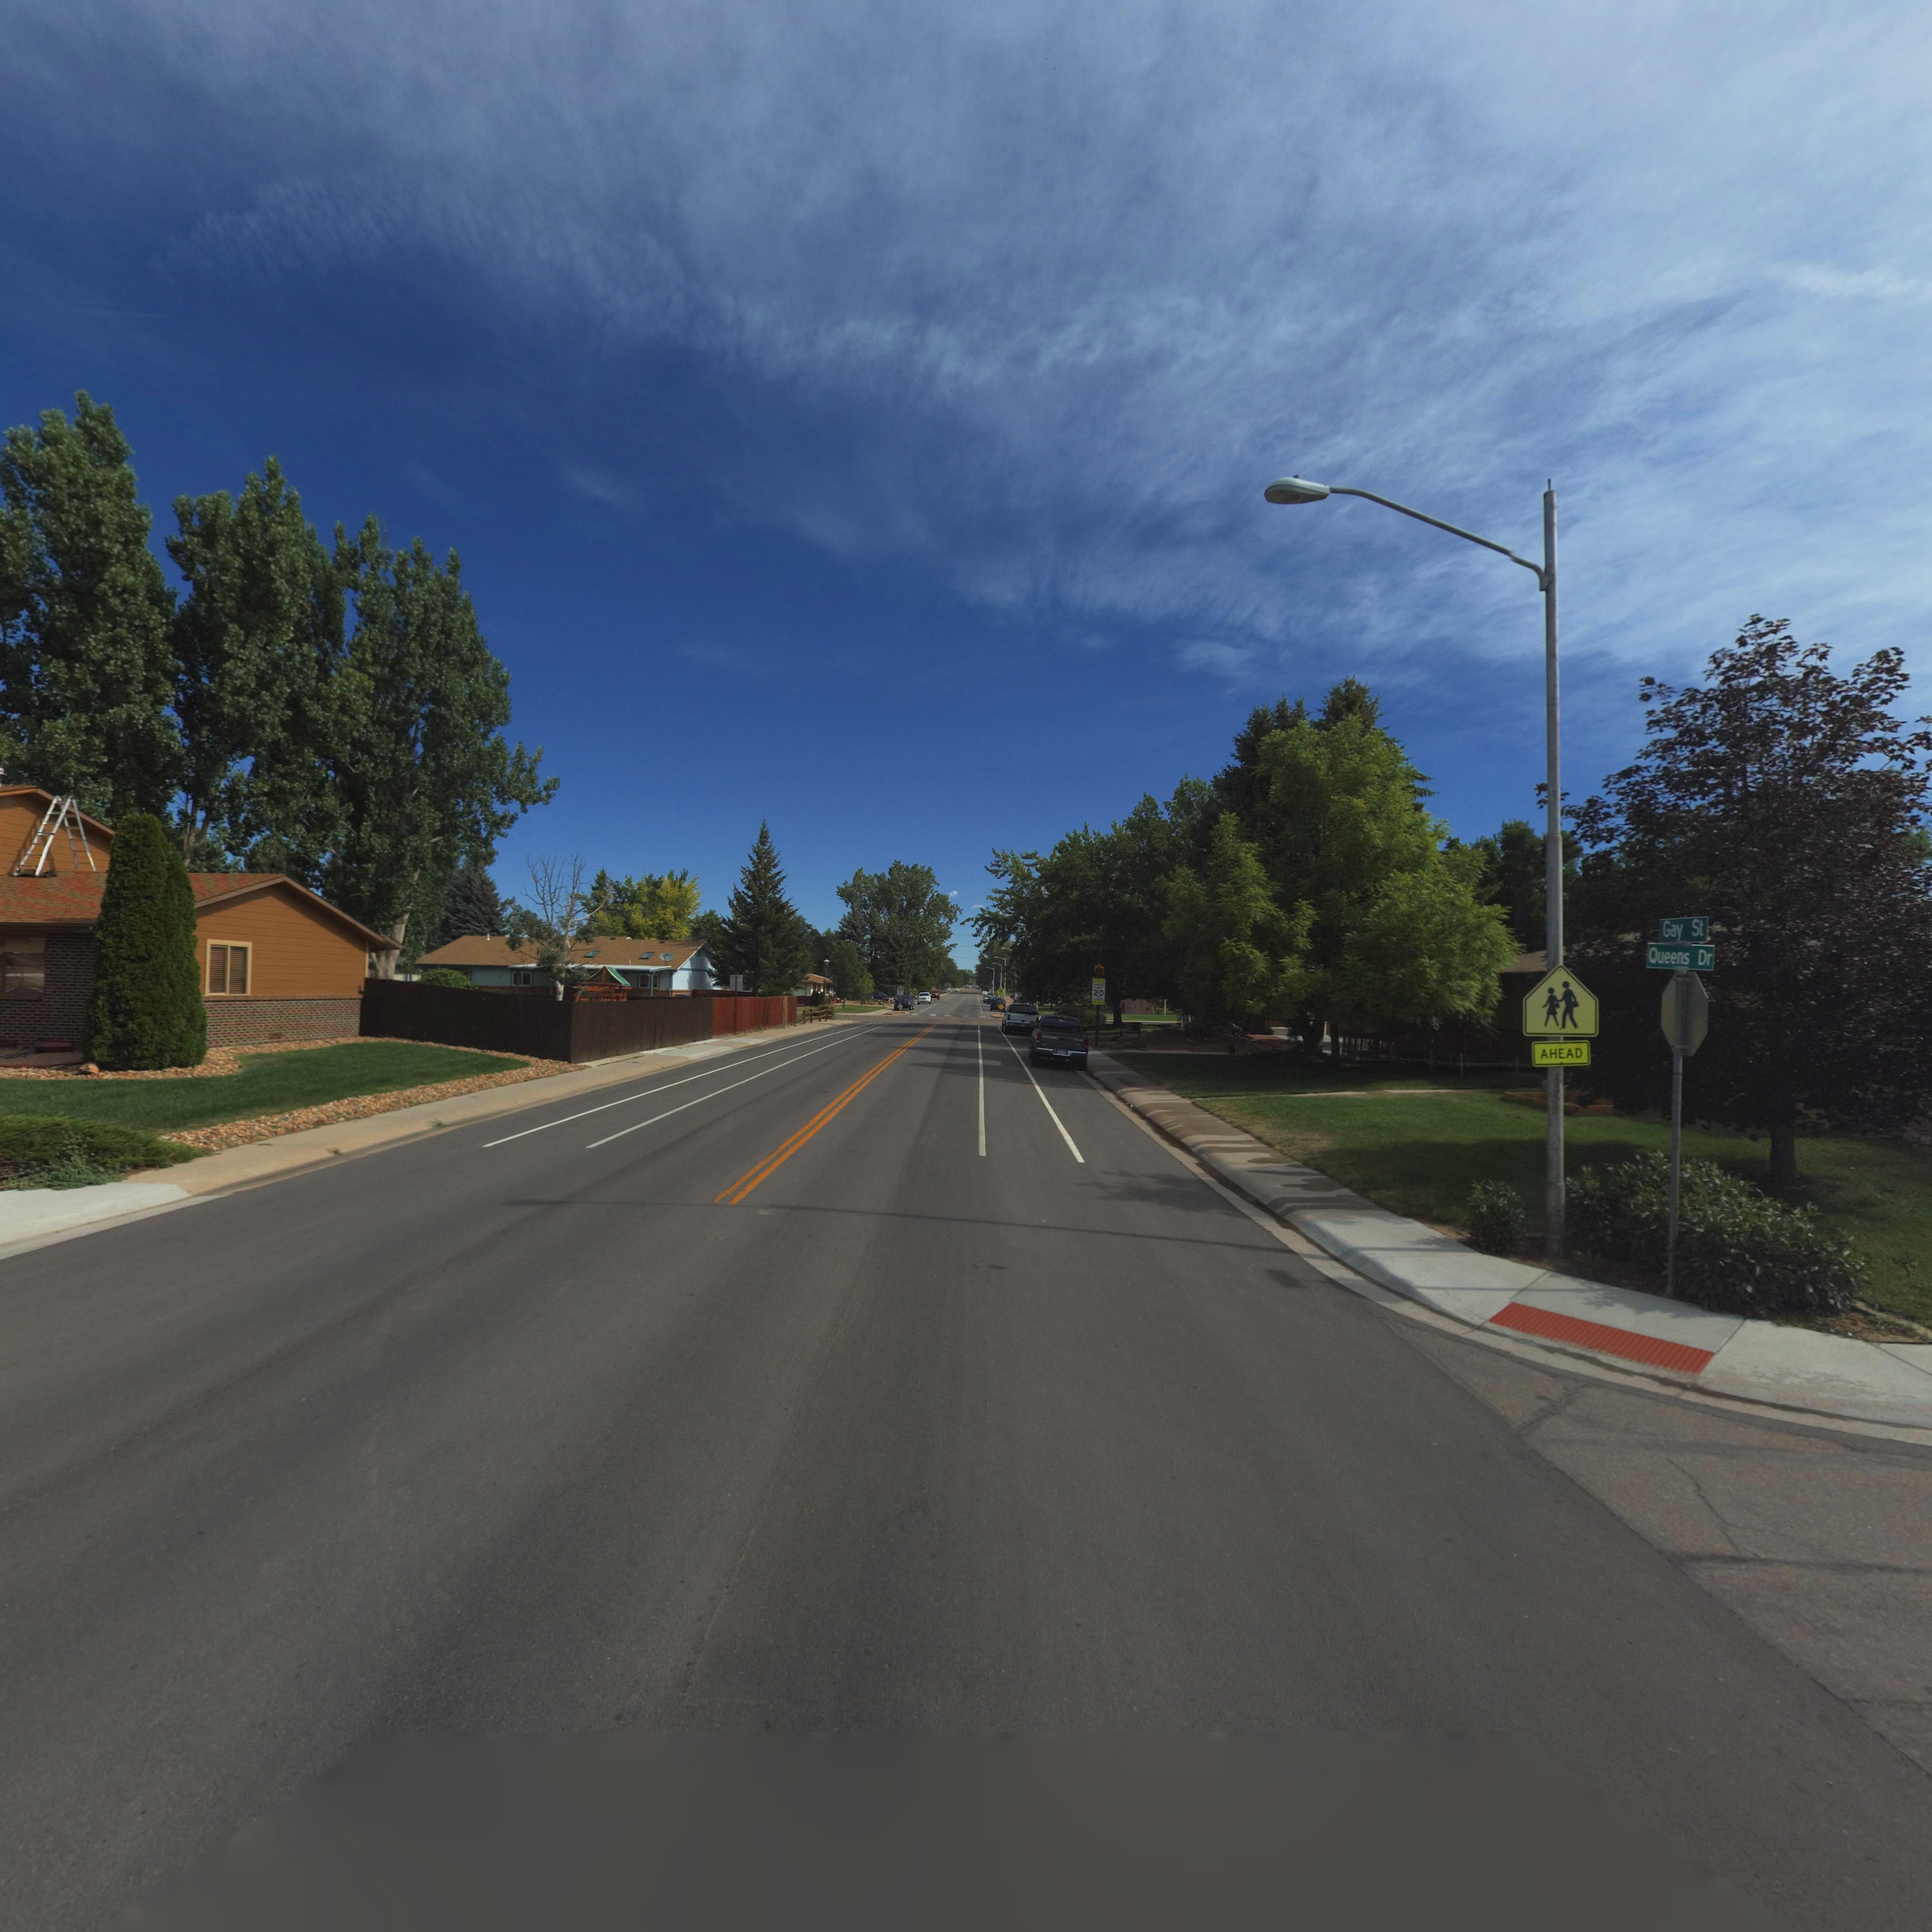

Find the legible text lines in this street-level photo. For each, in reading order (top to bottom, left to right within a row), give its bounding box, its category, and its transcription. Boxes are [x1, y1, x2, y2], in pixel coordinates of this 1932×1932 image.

[1661, 918, 1704, 942] StreetName: Gay St
[1648, 946, 1713, 966] StreetName: Queens Dr